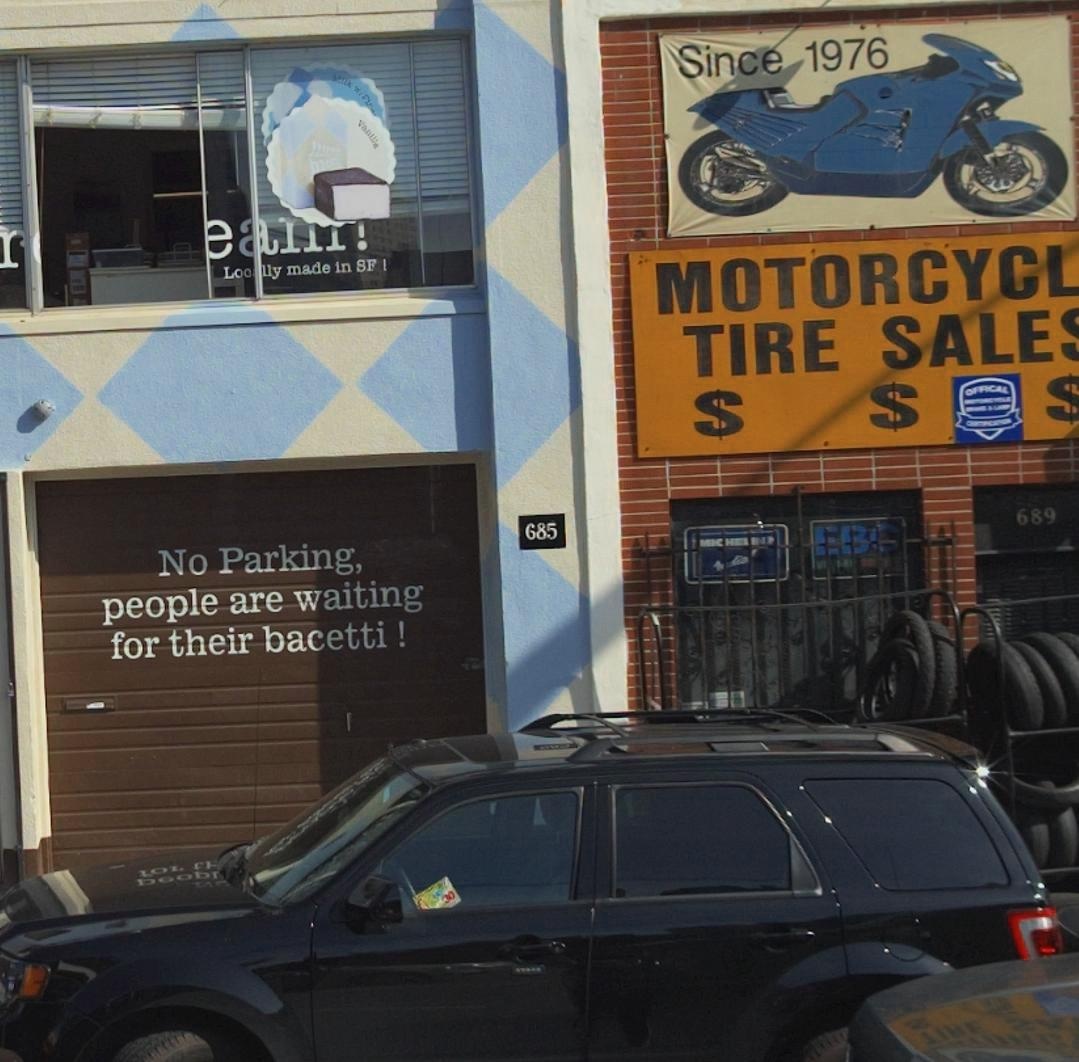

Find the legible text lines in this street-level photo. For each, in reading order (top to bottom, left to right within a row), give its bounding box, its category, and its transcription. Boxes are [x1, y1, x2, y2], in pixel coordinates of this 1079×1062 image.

[673, 35, 892, 81] None: Since 1976
[204, 214, 284, 262] None: e*
[222, 255, 389, 282] None: Loc*lly made in SF!
[653, 244, 1042, 317] None: MOTORCYC
[679, 308, 1055, 379] None: TIRE SALE
[962, 383, 1009, 398] None: OFFICAL
[524, 520, 558, 541] StreetNumber: 685
[1013, 502, 1058, 531] StreetNumber: 689
[155, 538, 364, 578] None: No Parking,
[100, 576, 428, 628] None: people are waiting
[109, 618, 407, 661] None: for their bacetti!